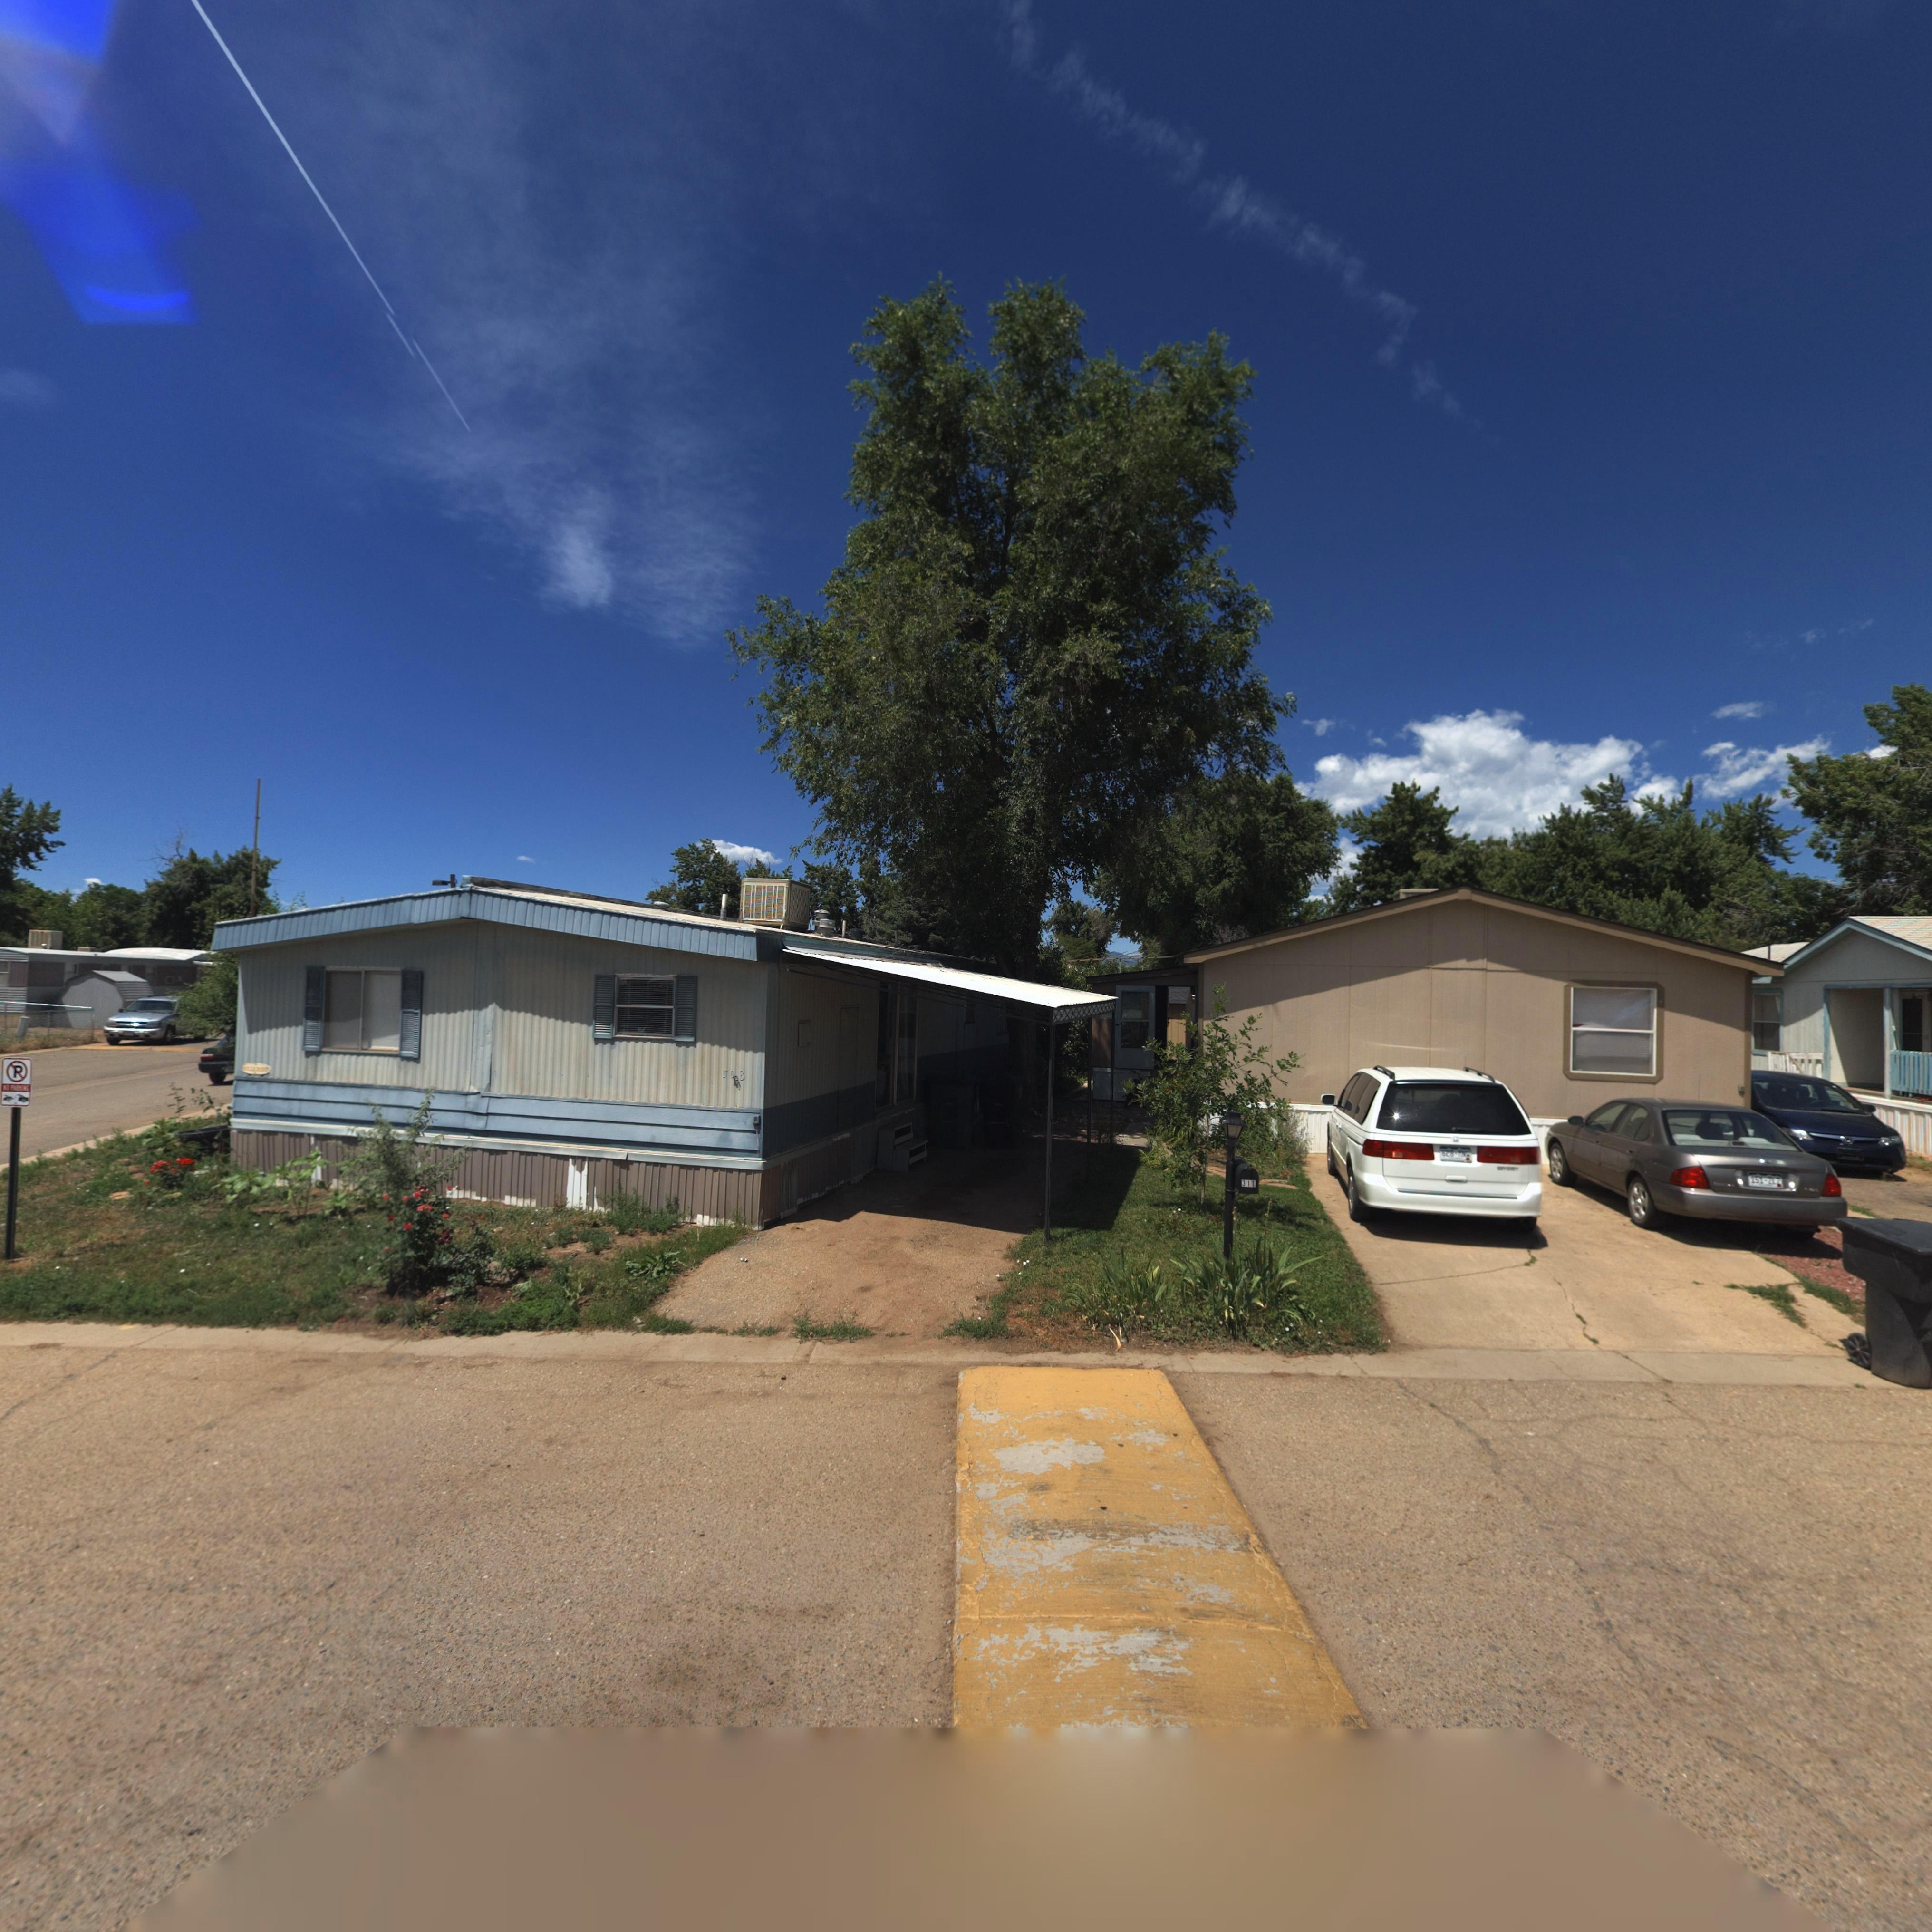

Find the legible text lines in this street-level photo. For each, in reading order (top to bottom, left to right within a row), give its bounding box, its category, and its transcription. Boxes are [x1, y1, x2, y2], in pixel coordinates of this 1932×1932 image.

[722, 1069, 745, 1081] StreetNumber: 108
[1242, 1179, 1255, 1187] StreetNumber: 311